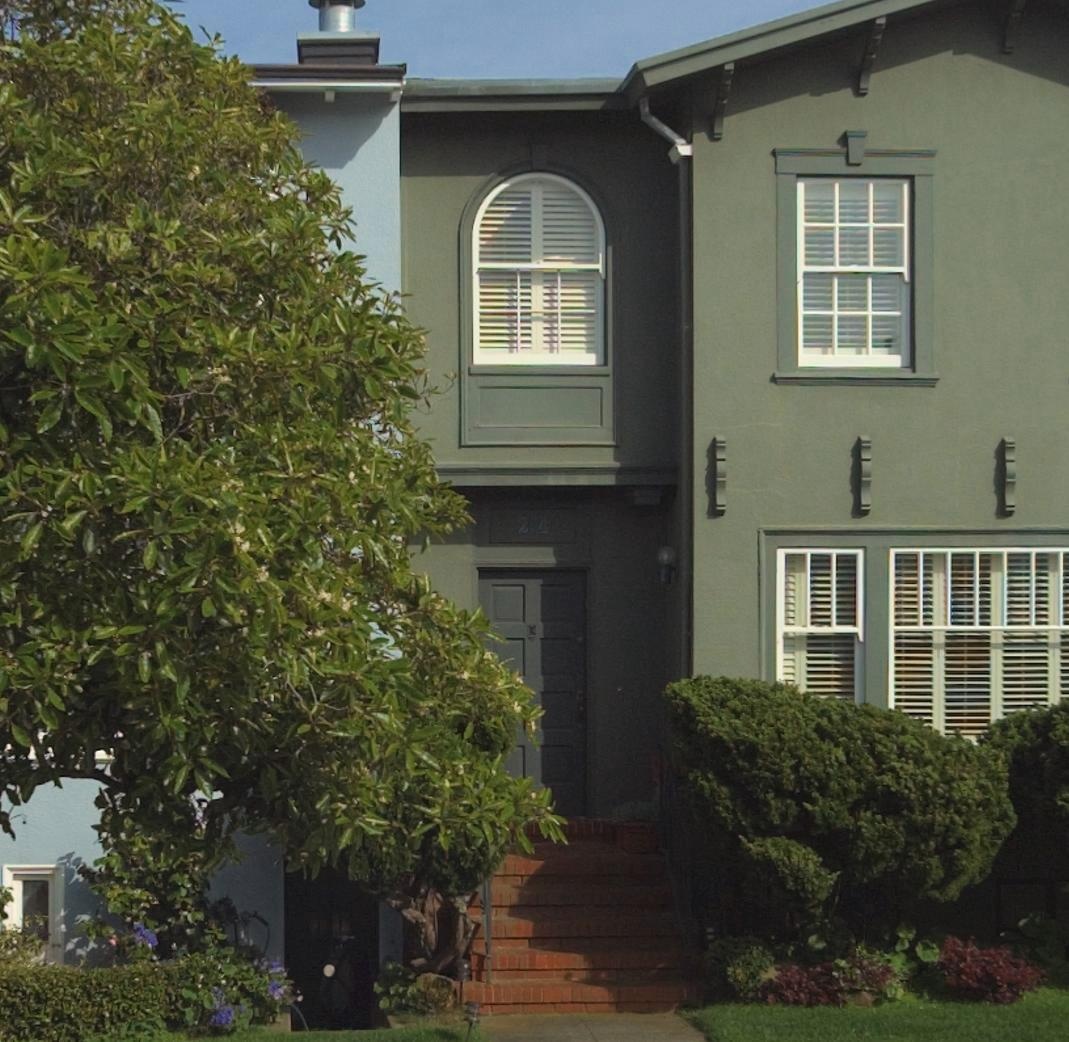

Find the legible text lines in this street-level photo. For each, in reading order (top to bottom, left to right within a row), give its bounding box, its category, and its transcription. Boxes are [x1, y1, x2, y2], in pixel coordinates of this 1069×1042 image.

[517, 515, 550, 536] StreetNumber: 24